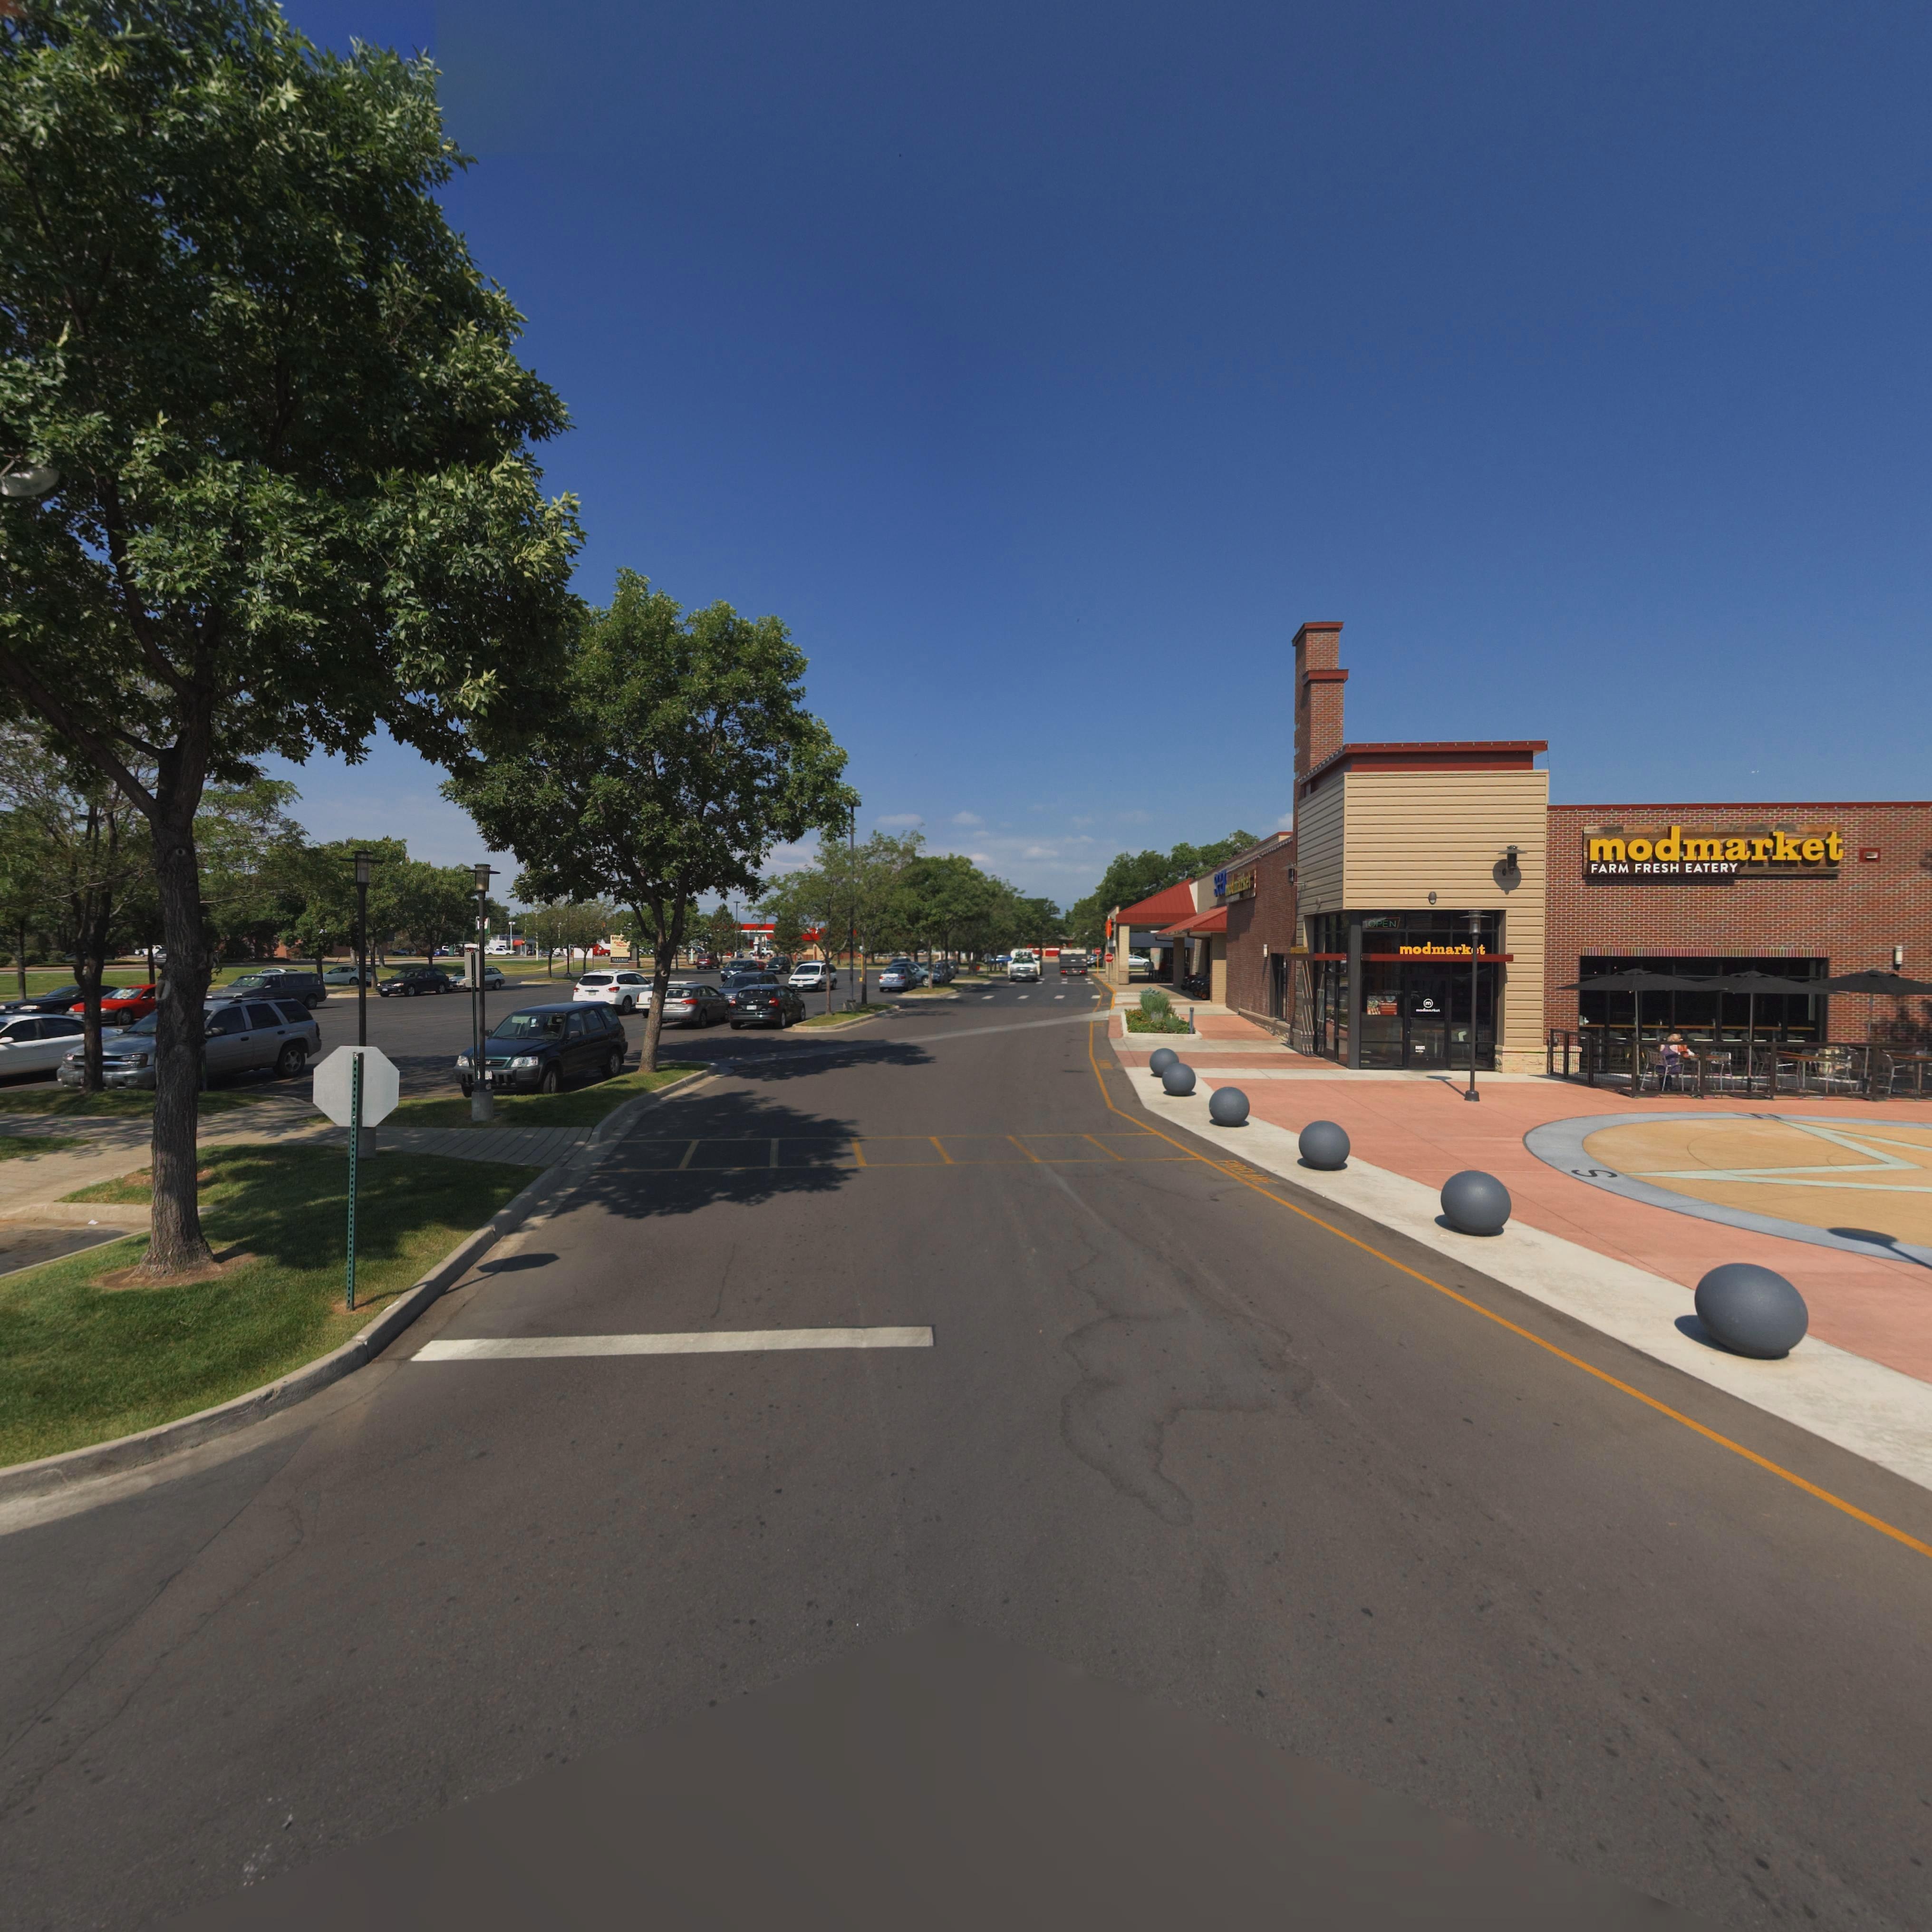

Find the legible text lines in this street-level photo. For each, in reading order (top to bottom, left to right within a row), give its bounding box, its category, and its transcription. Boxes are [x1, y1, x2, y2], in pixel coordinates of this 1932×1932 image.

[1589, 824, 1845, 861] BusinessName: modmarket
[1590, 862, 1739, 873] BusinessName: FARM FRESH EATERY
[1213, 868, 1227, 897] BusinessName: sear
[1225, 870, 1251, 896] BusinessName: modmarket
[611, 936, 619, 940] BusinessName: BIG
[1289, 944, 1309, 954] BusinessName: modm**k**
[1400, 941, 1486, 955] BusinessName: modmarket
[1425, 1001, 1431, 1005] BusinessName: m
[1415, 1007, 1440, 1012] BusinessName: mod*****t